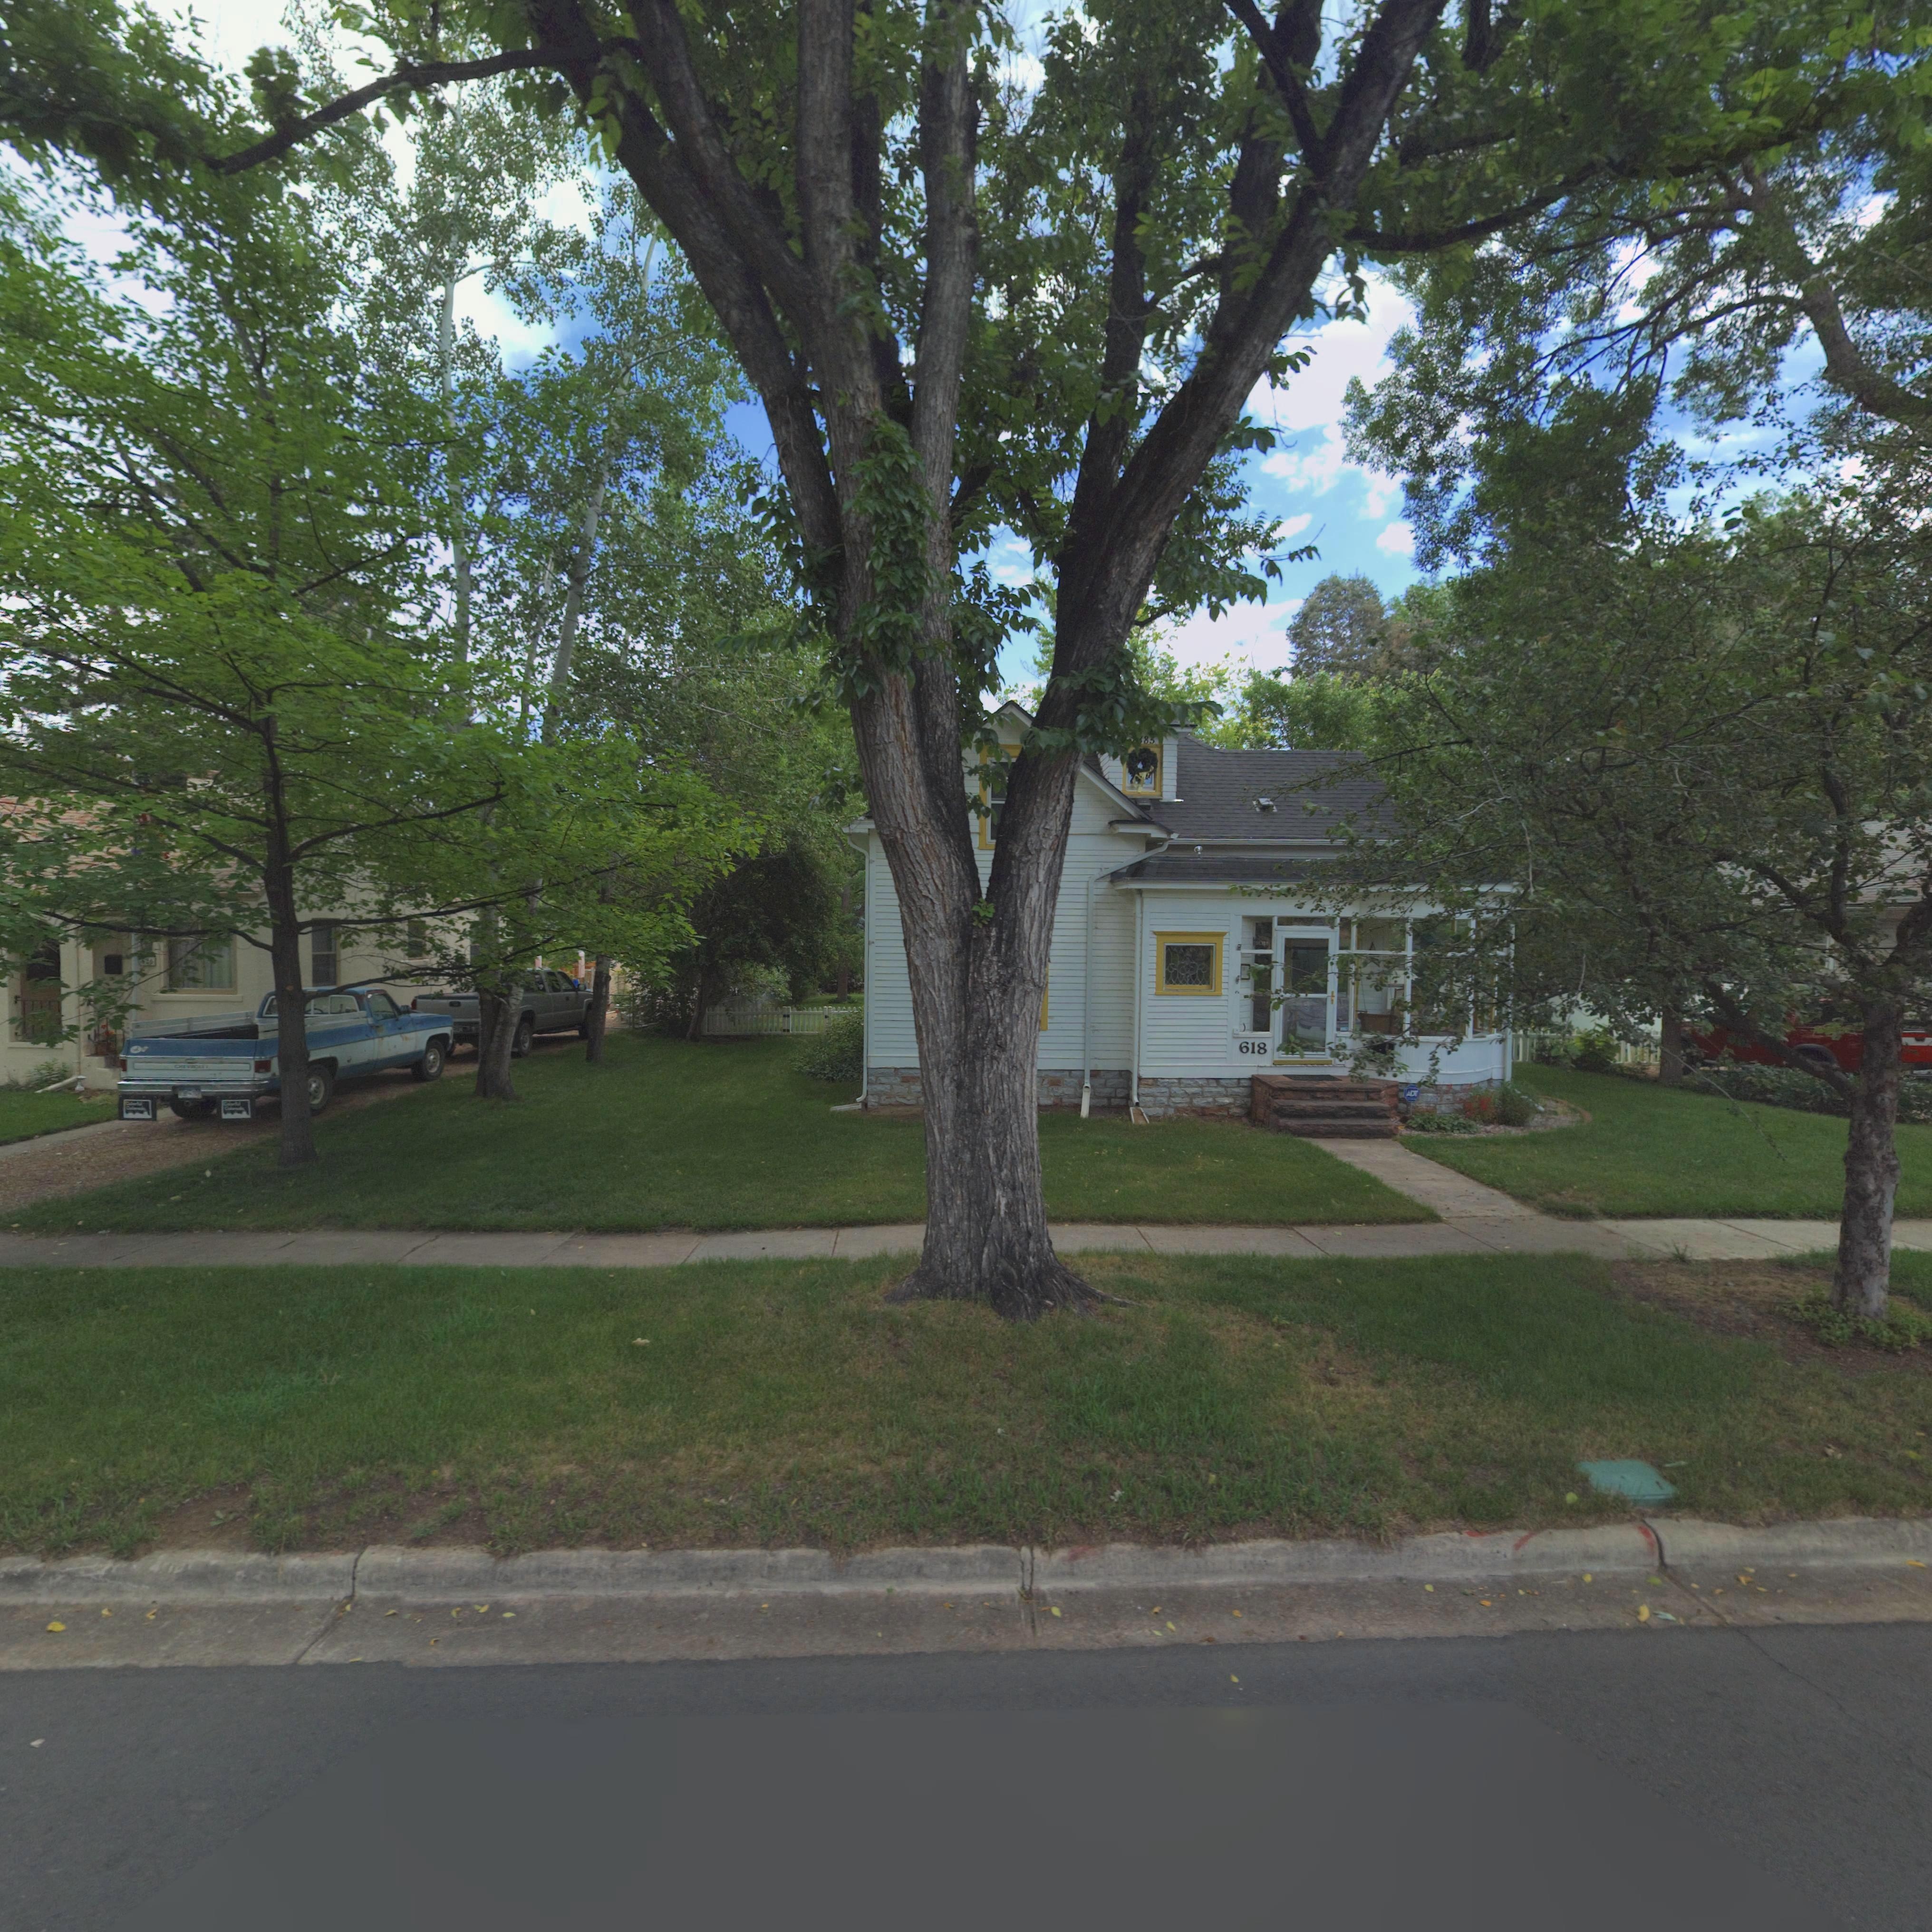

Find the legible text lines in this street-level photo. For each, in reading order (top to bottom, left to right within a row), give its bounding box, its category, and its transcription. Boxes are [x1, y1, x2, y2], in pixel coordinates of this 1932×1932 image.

[140, 957, 154, 964] StreetNumber: 62*
[1238, 1040, 1267, 1055] StreetNumber: 618